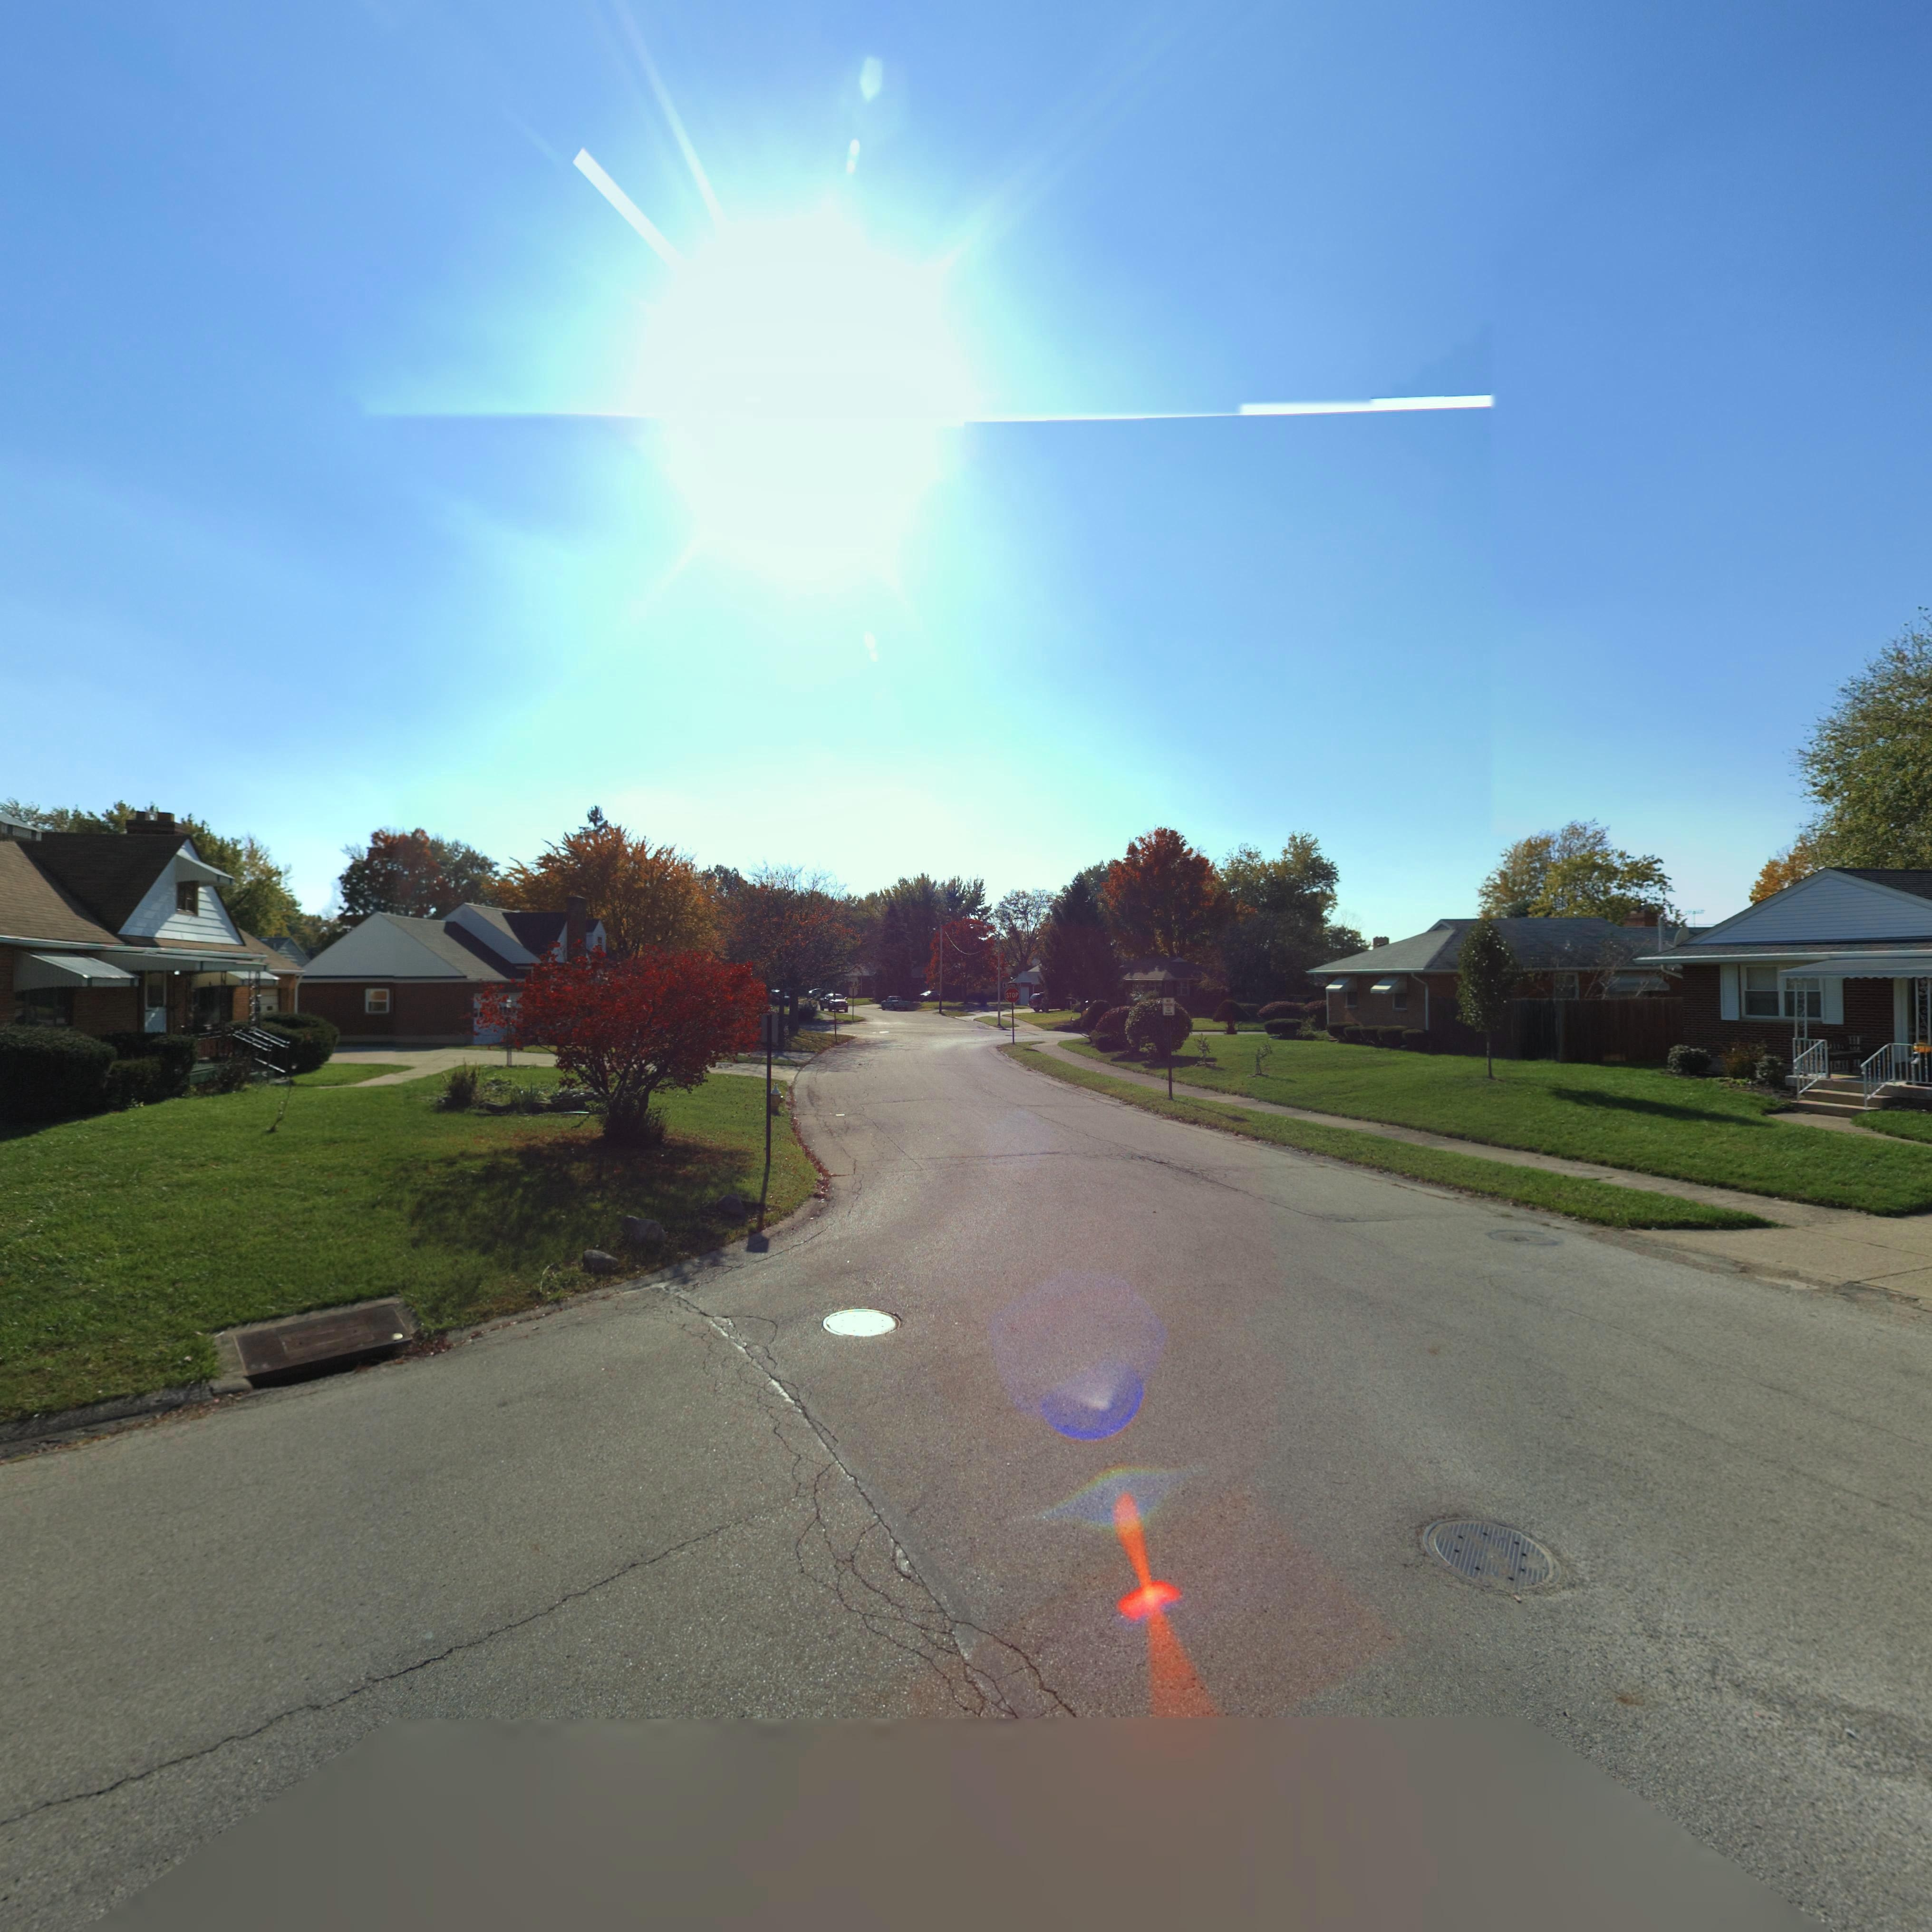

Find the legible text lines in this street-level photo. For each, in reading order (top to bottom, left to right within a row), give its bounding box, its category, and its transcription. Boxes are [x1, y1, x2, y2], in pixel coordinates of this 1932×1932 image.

[1005, 983, 1015, 987] StreetName: Storms
[1005, 992, 1019, 998] None: STOP